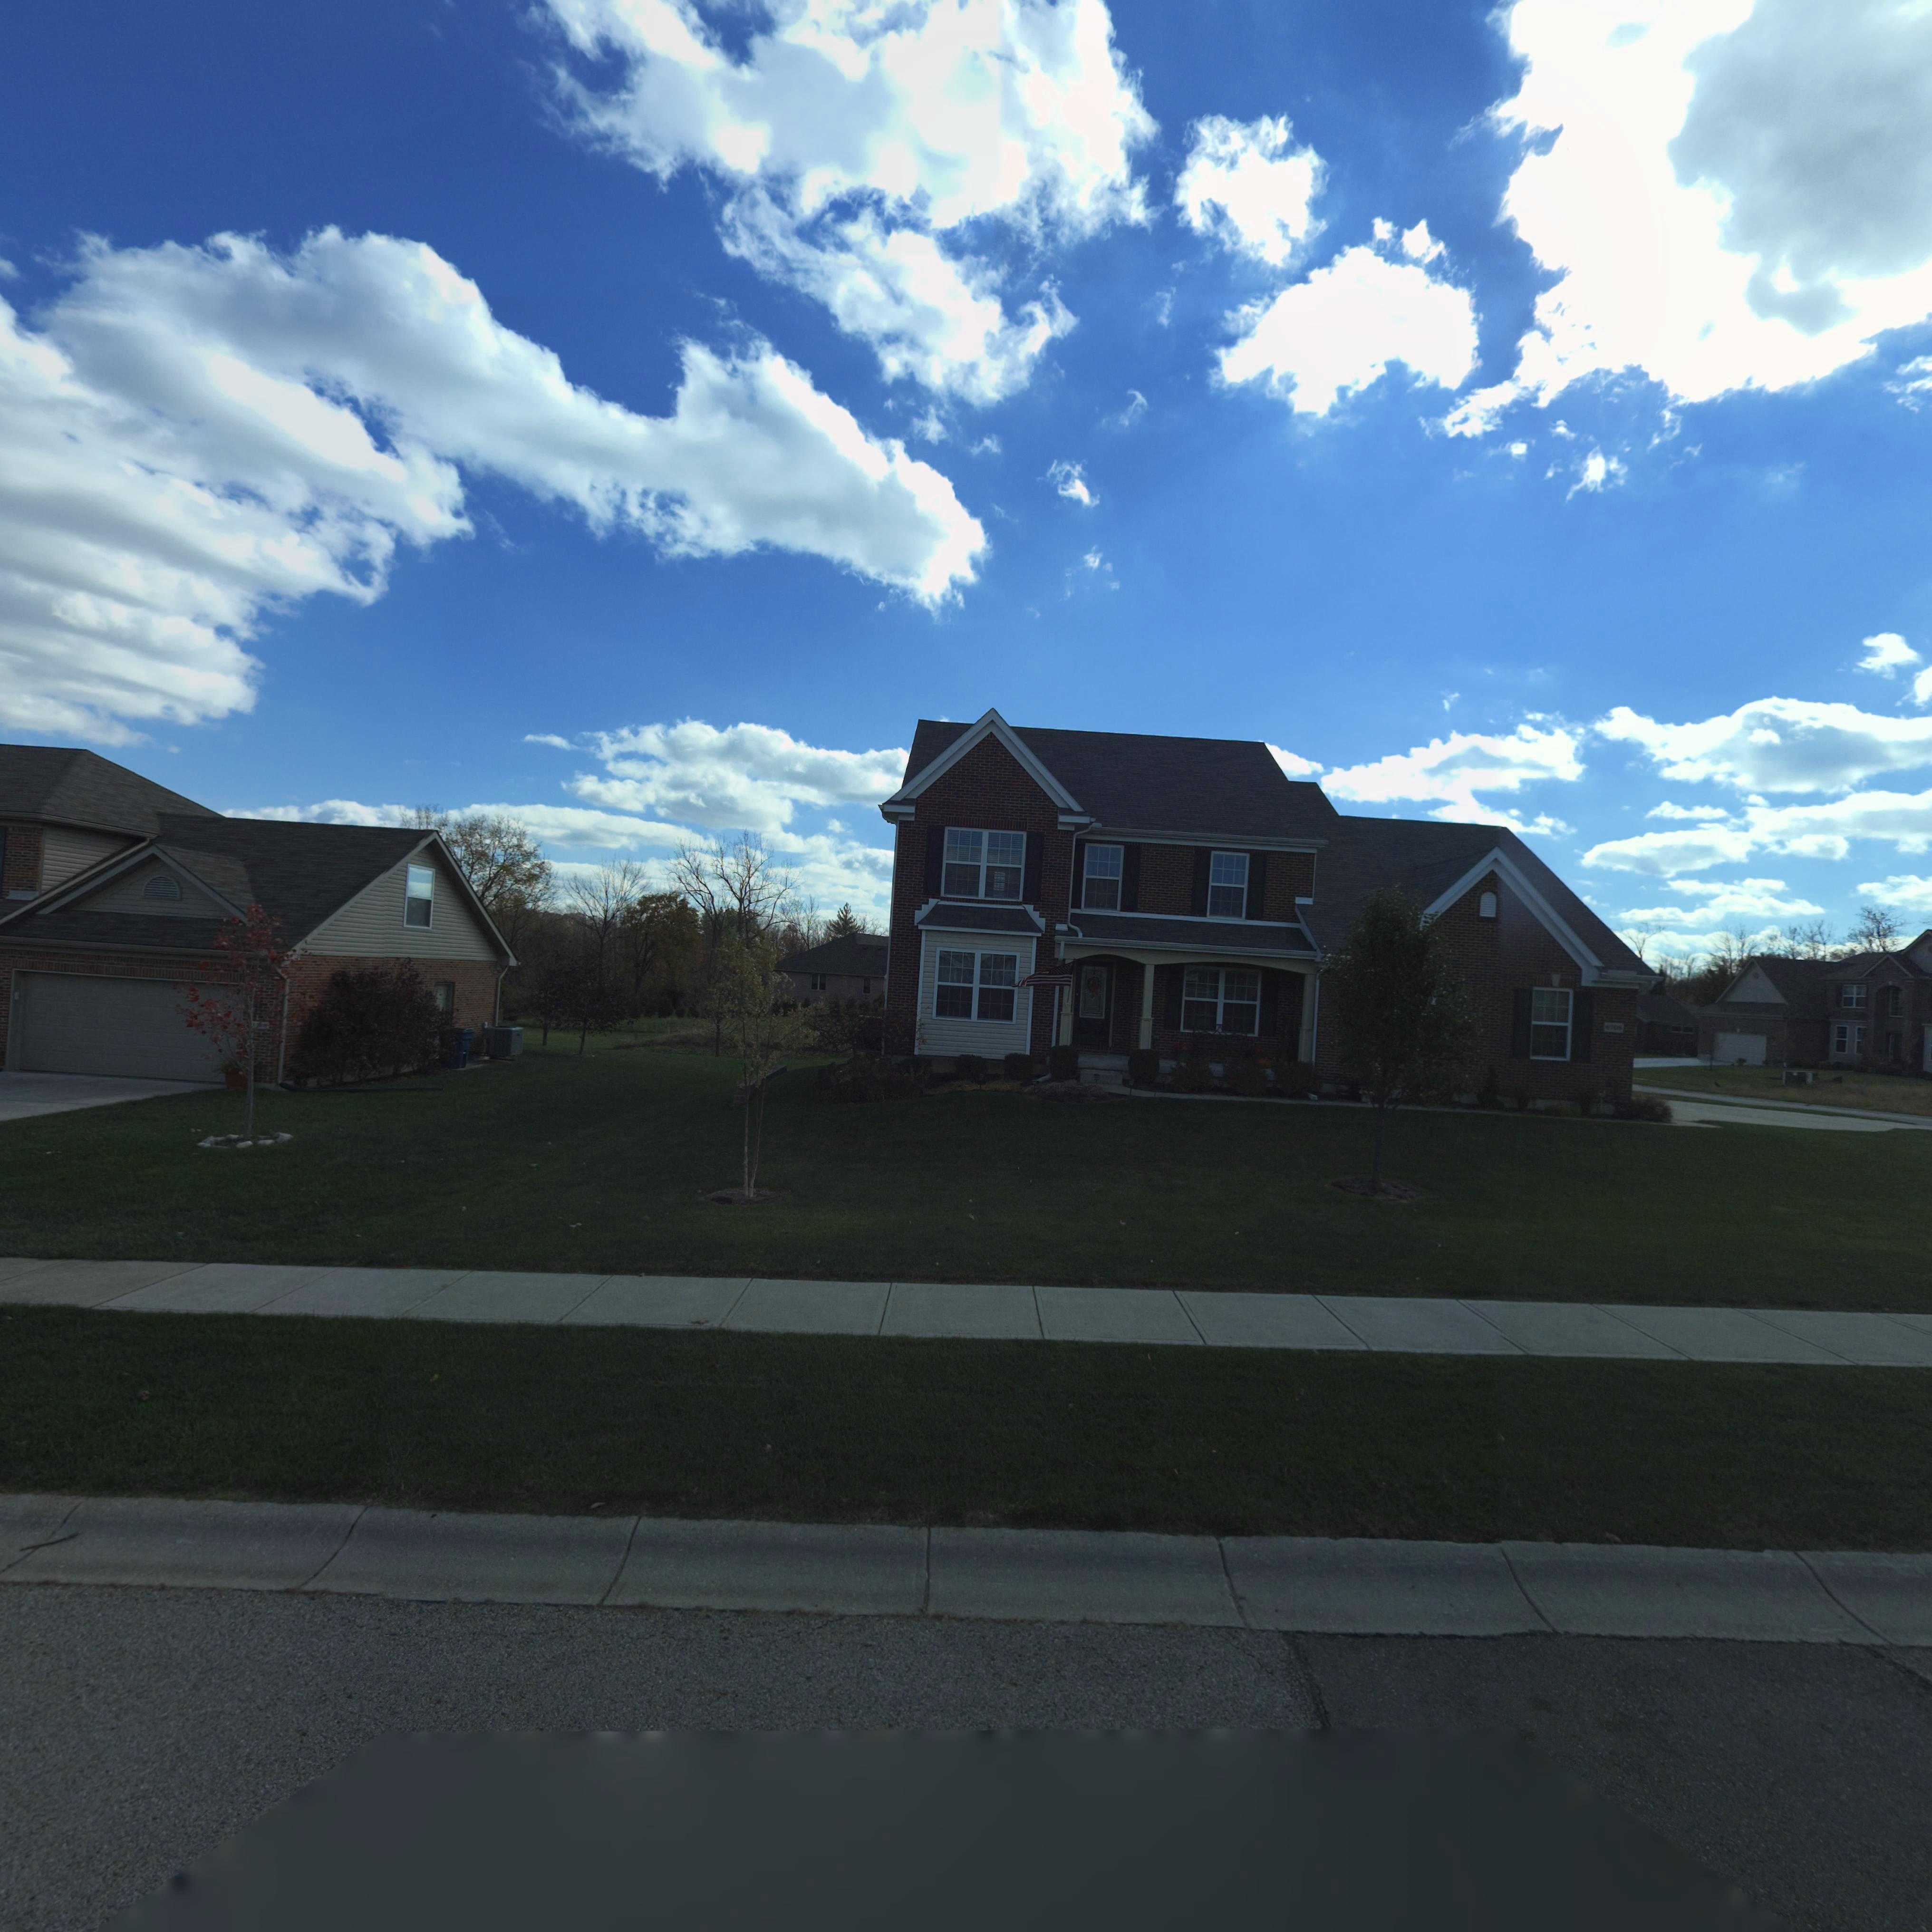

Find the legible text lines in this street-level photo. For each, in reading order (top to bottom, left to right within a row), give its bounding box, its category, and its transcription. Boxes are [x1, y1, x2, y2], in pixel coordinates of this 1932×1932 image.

[1604, 1024, 1623, 1032] StreetNumber: 6708